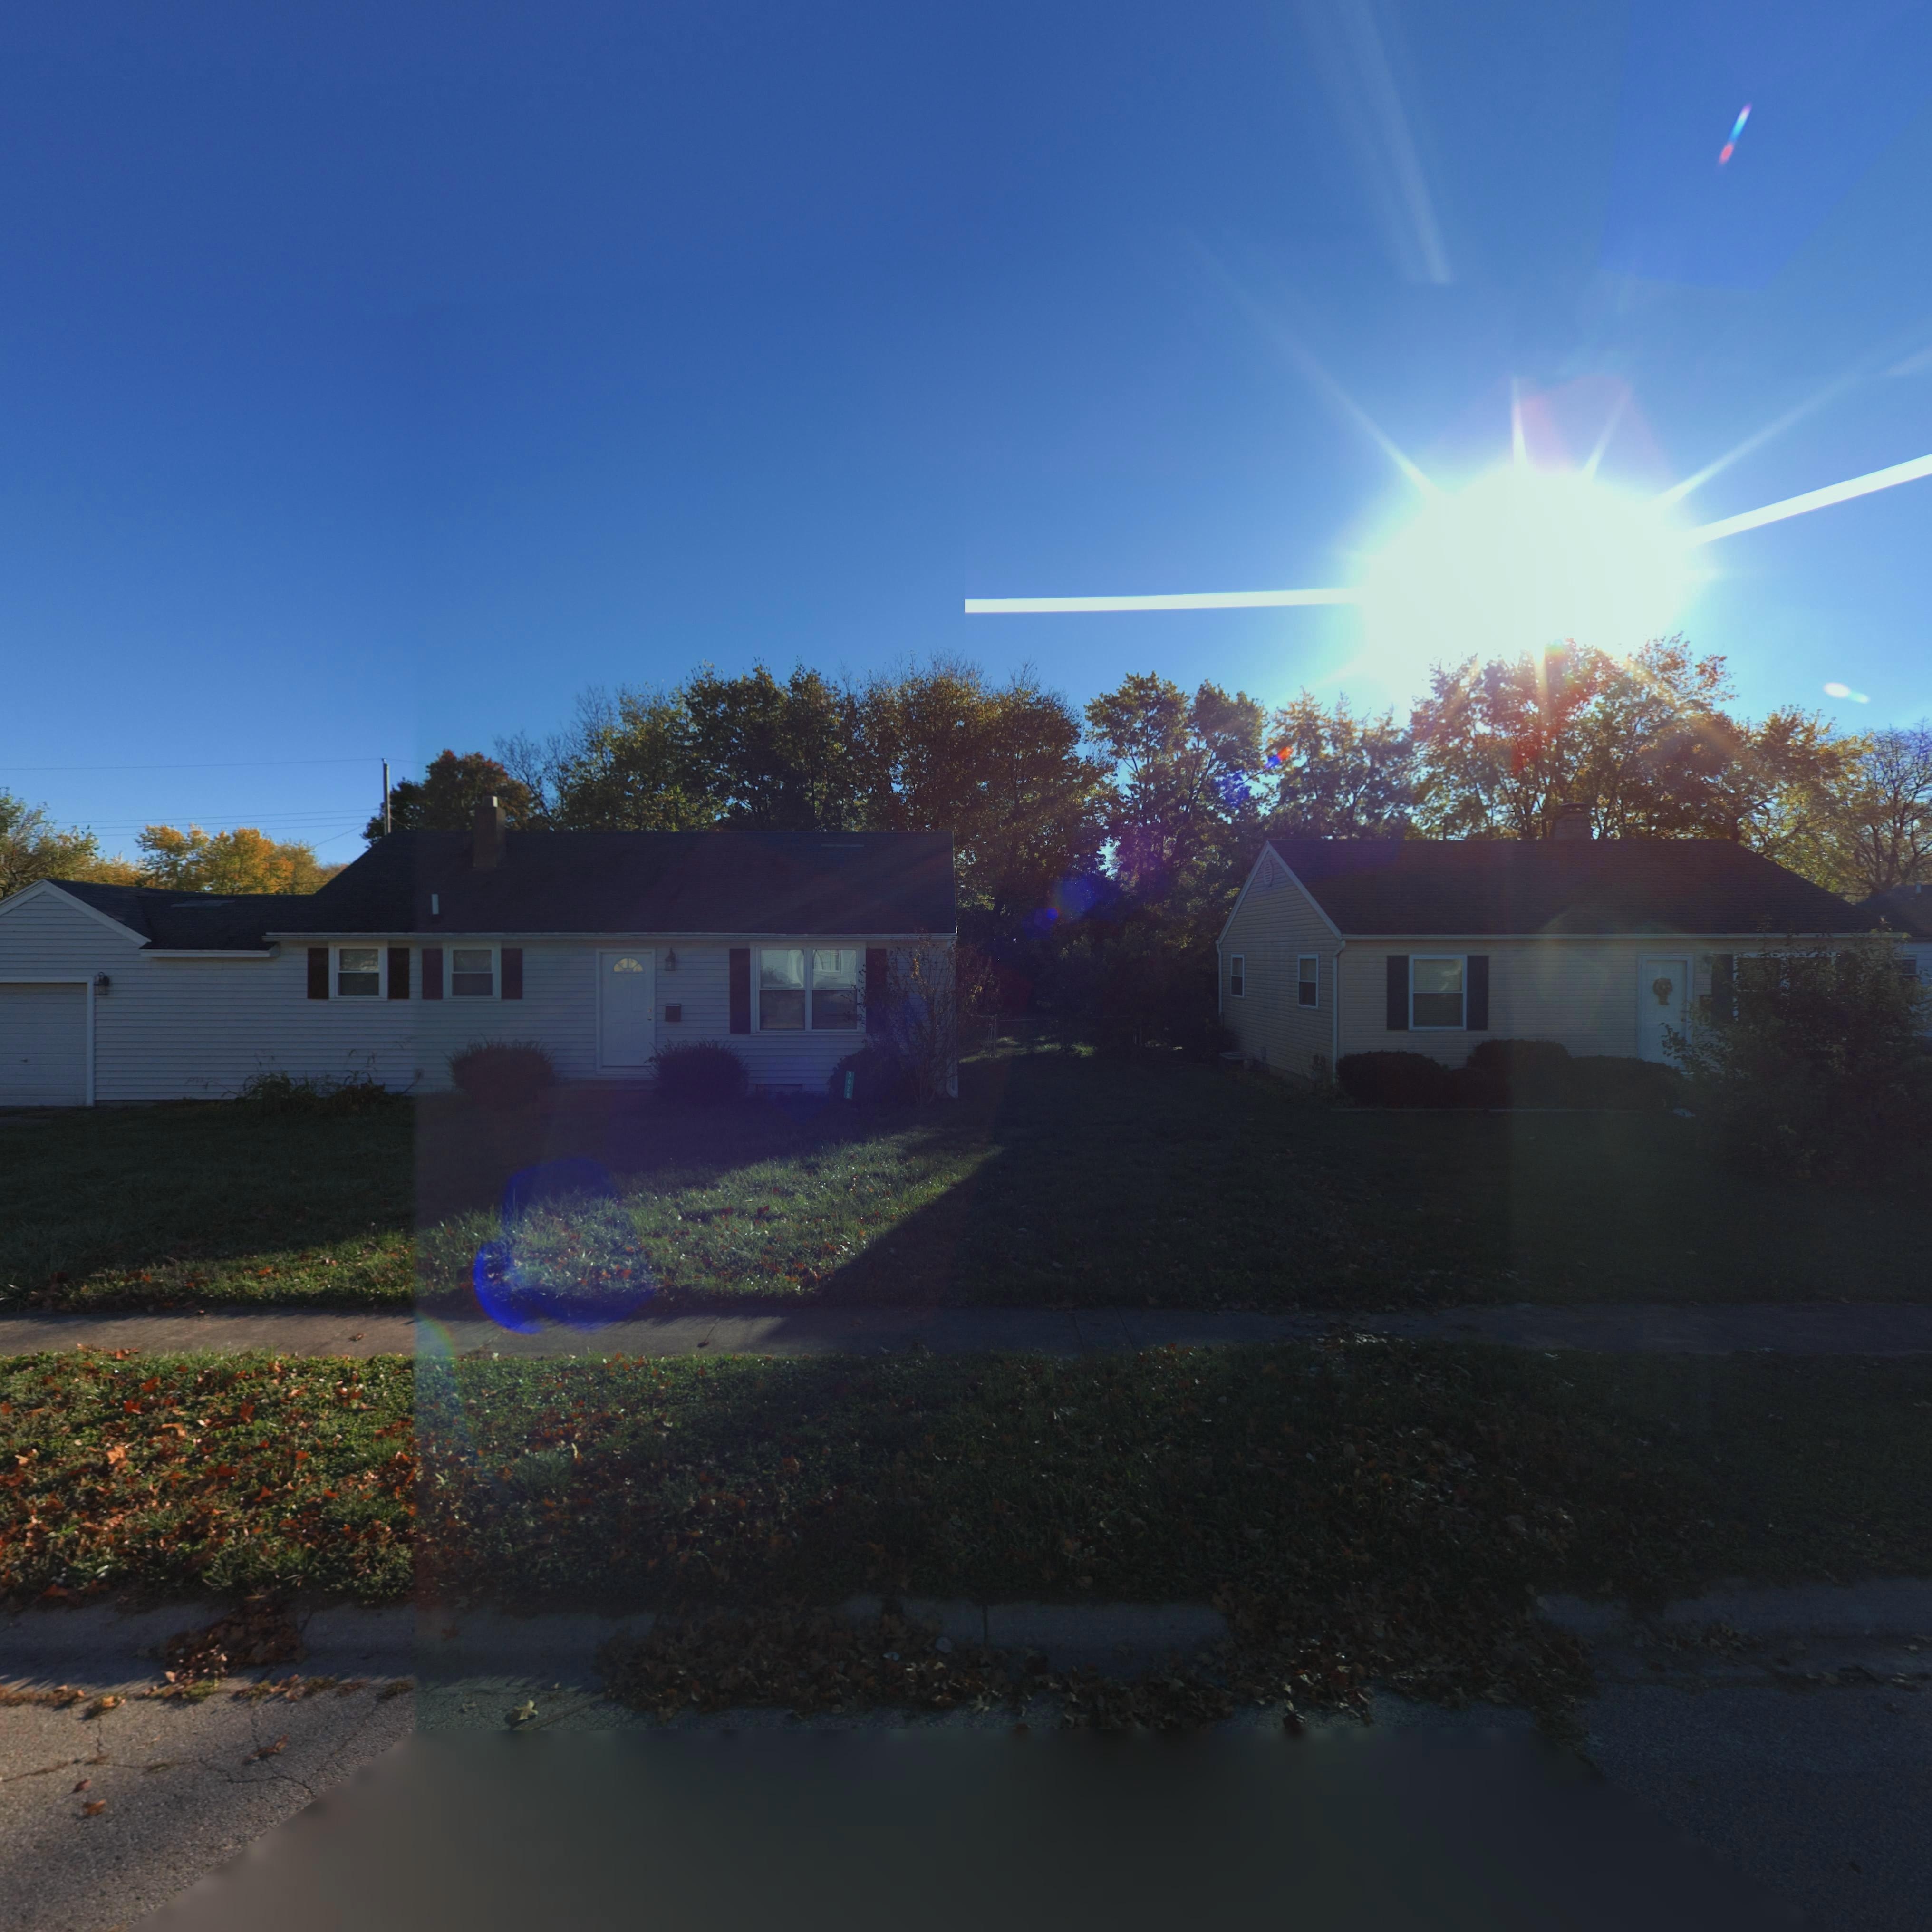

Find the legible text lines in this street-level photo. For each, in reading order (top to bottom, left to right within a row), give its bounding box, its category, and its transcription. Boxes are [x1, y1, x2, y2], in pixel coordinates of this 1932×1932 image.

[846, 1071, 852, 1098] StreetNumber: 5028